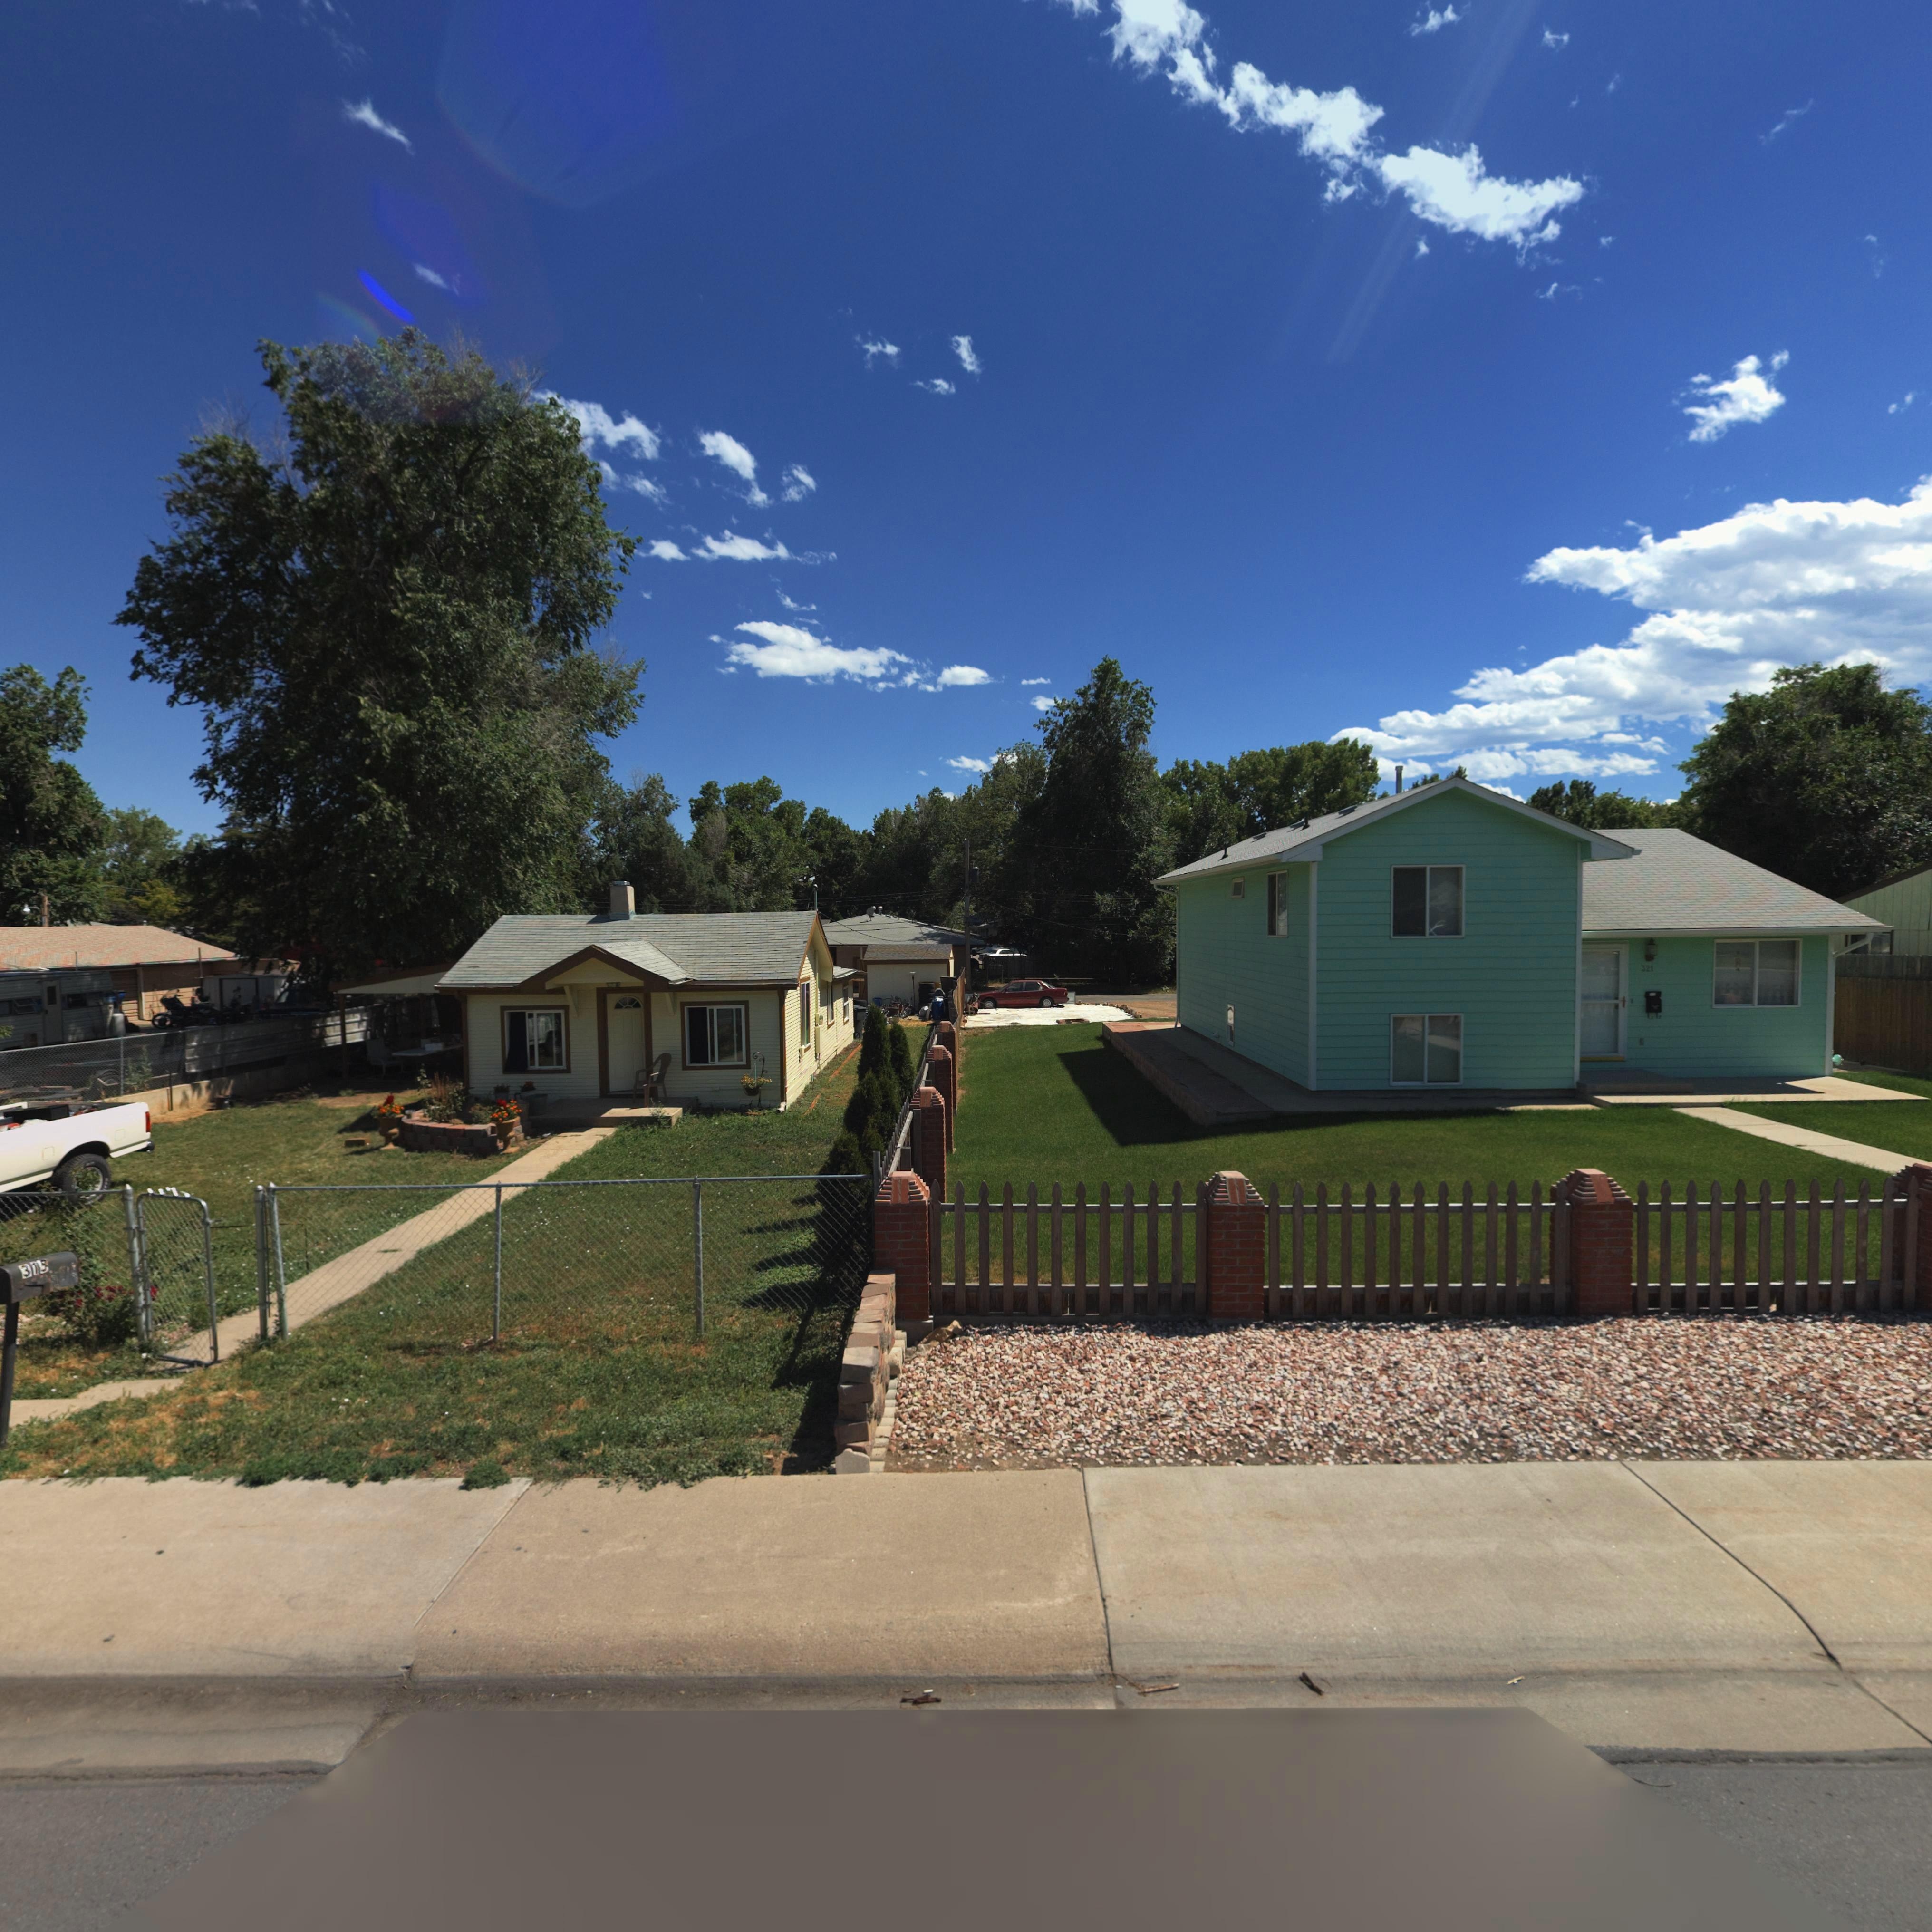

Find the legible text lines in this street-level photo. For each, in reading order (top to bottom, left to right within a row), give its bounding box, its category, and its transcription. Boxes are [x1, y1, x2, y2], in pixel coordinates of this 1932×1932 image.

[1641, 965, 1653, 972] StreetNumber: 321
[20, 1259, 47, 1277] StreetNumber: 319